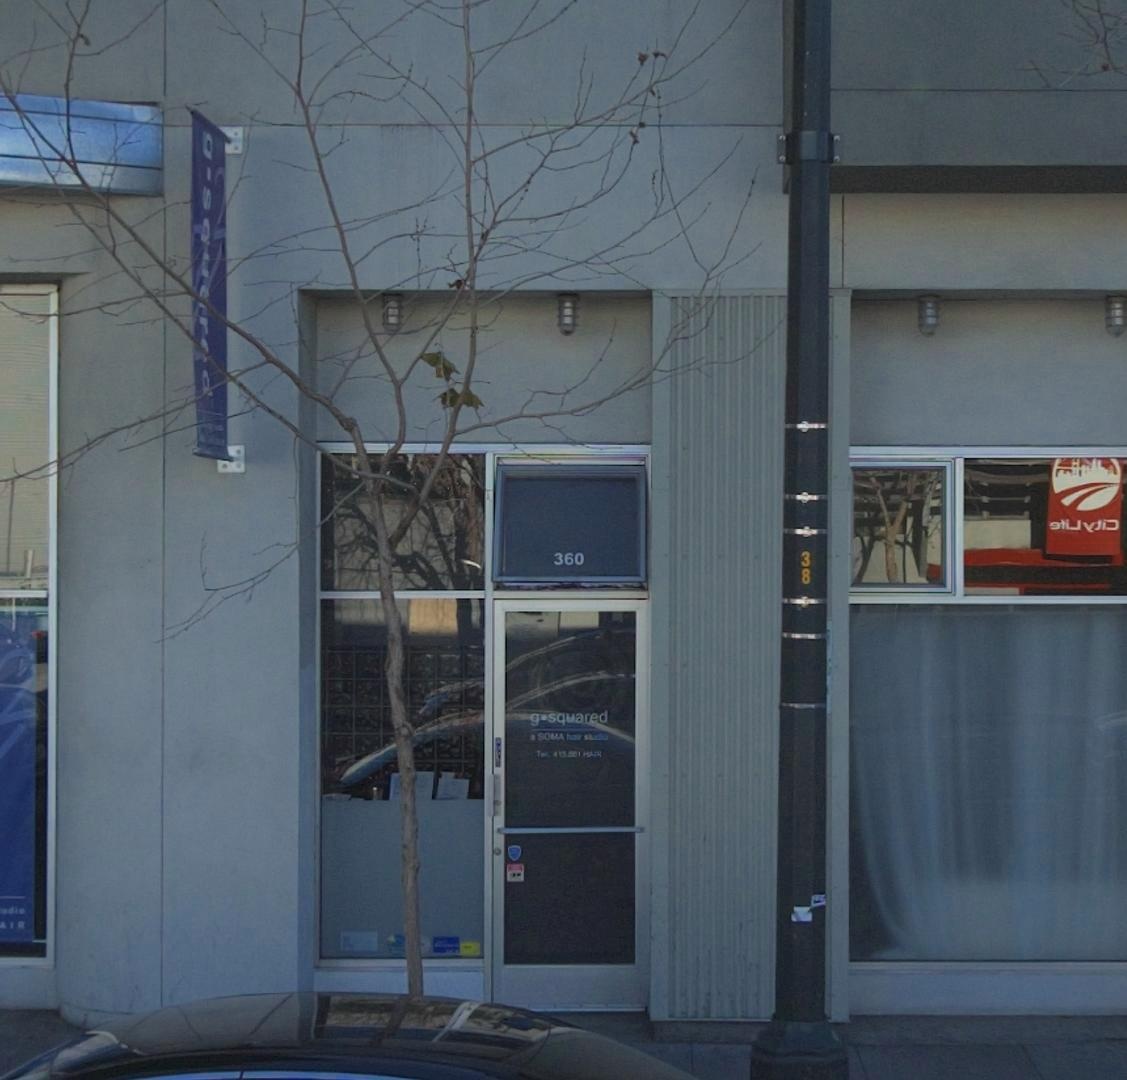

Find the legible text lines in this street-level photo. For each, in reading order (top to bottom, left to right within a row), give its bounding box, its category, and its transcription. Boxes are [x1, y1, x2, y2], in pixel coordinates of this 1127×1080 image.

[551, 551, 586, 567] StreetNumber: 360
[800, 549, 811, 586] None: 38
[529, 709, 609, 728] BusinessName: g*squared
[527, 732, 610, 742] None: a SOMA hair studio